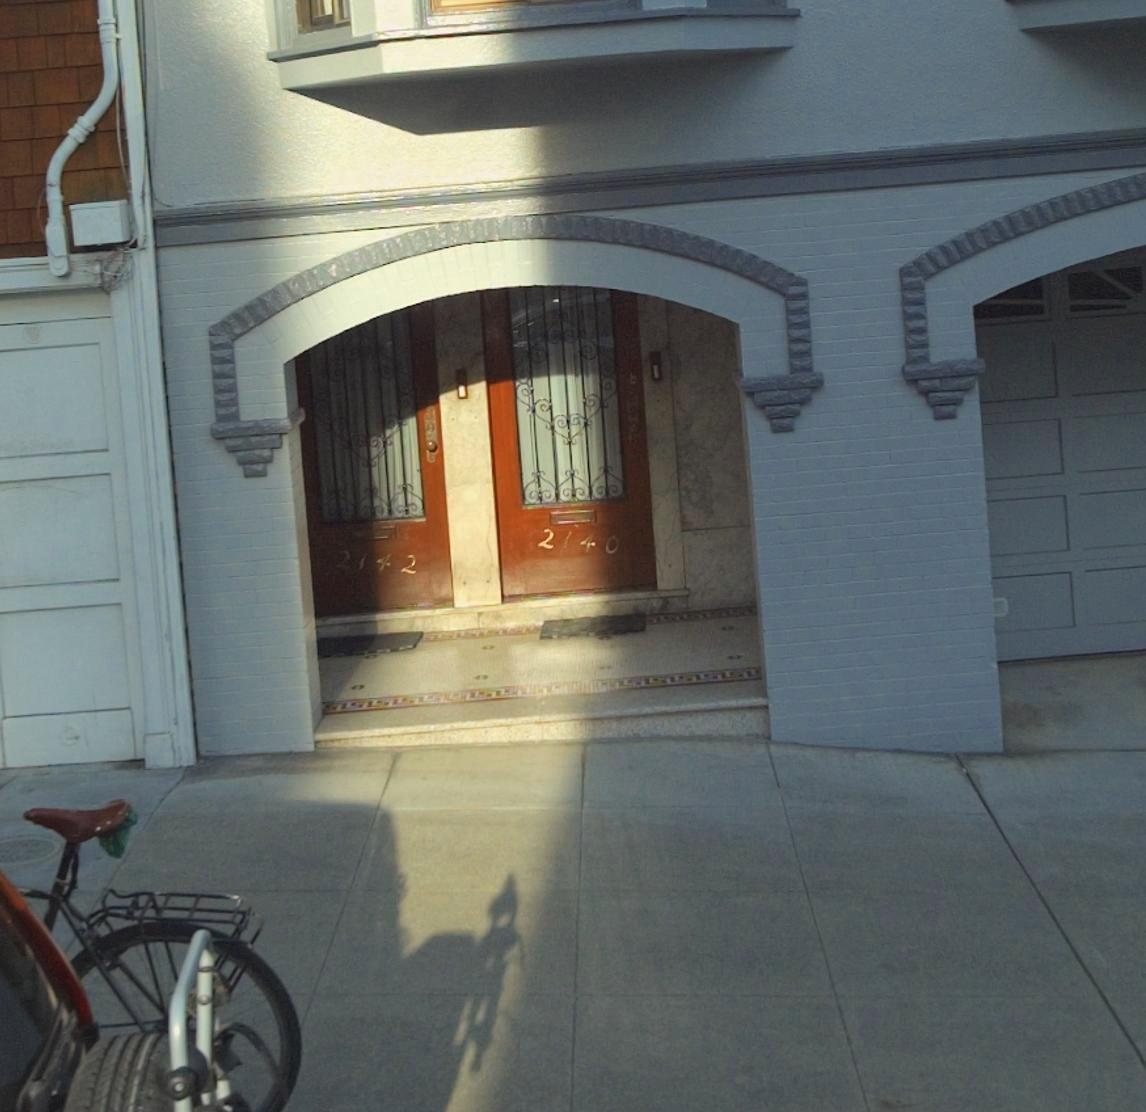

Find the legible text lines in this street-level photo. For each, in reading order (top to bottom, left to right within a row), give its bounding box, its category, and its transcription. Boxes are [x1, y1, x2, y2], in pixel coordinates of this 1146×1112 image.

[535, 526, 622, 558] StreetNumber: 2140
[330, 546, 421, 577] StreetNumber: 2142